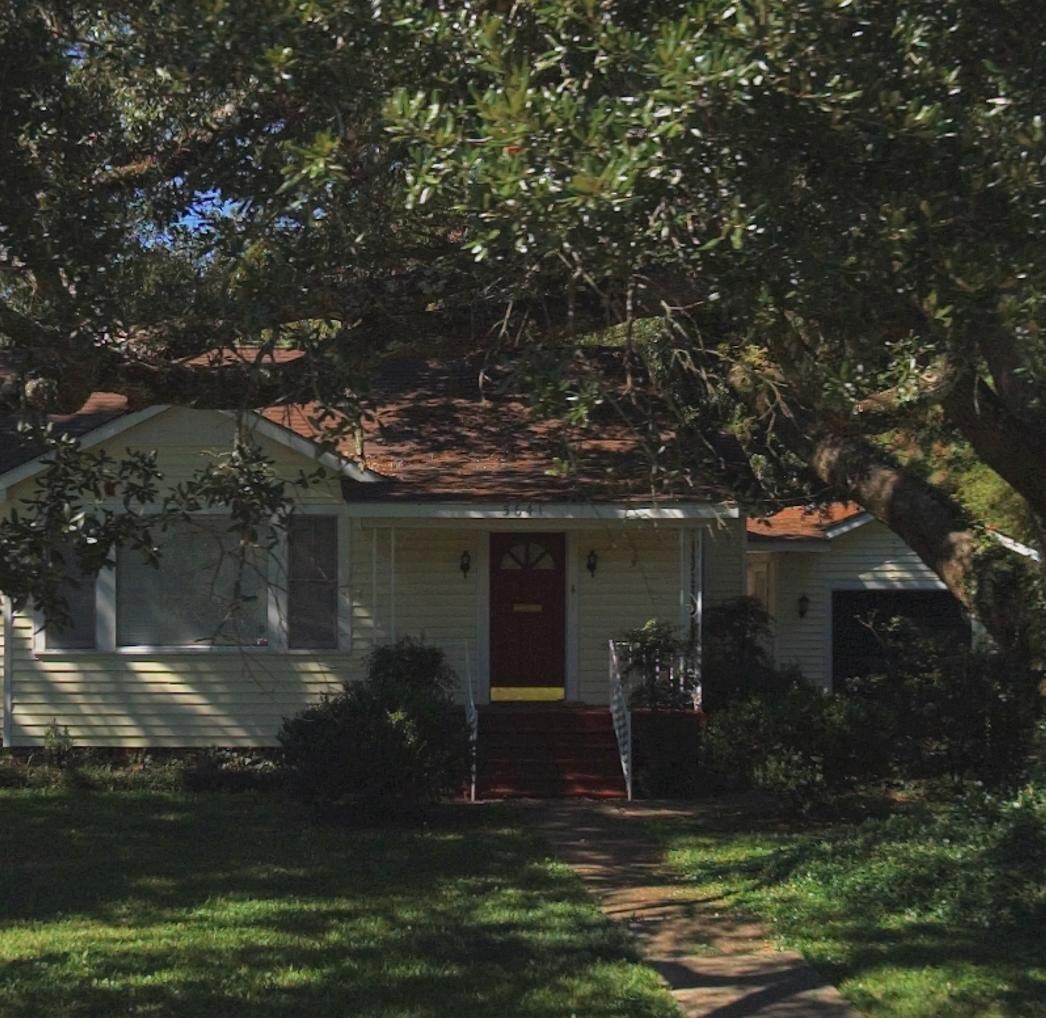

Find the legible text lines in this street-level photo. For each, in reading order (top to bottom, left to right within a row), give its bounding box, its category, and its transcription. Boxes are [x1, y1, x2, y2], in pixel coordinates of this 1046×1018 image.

[501, 502, 544, 518] StreetNumber: 5641